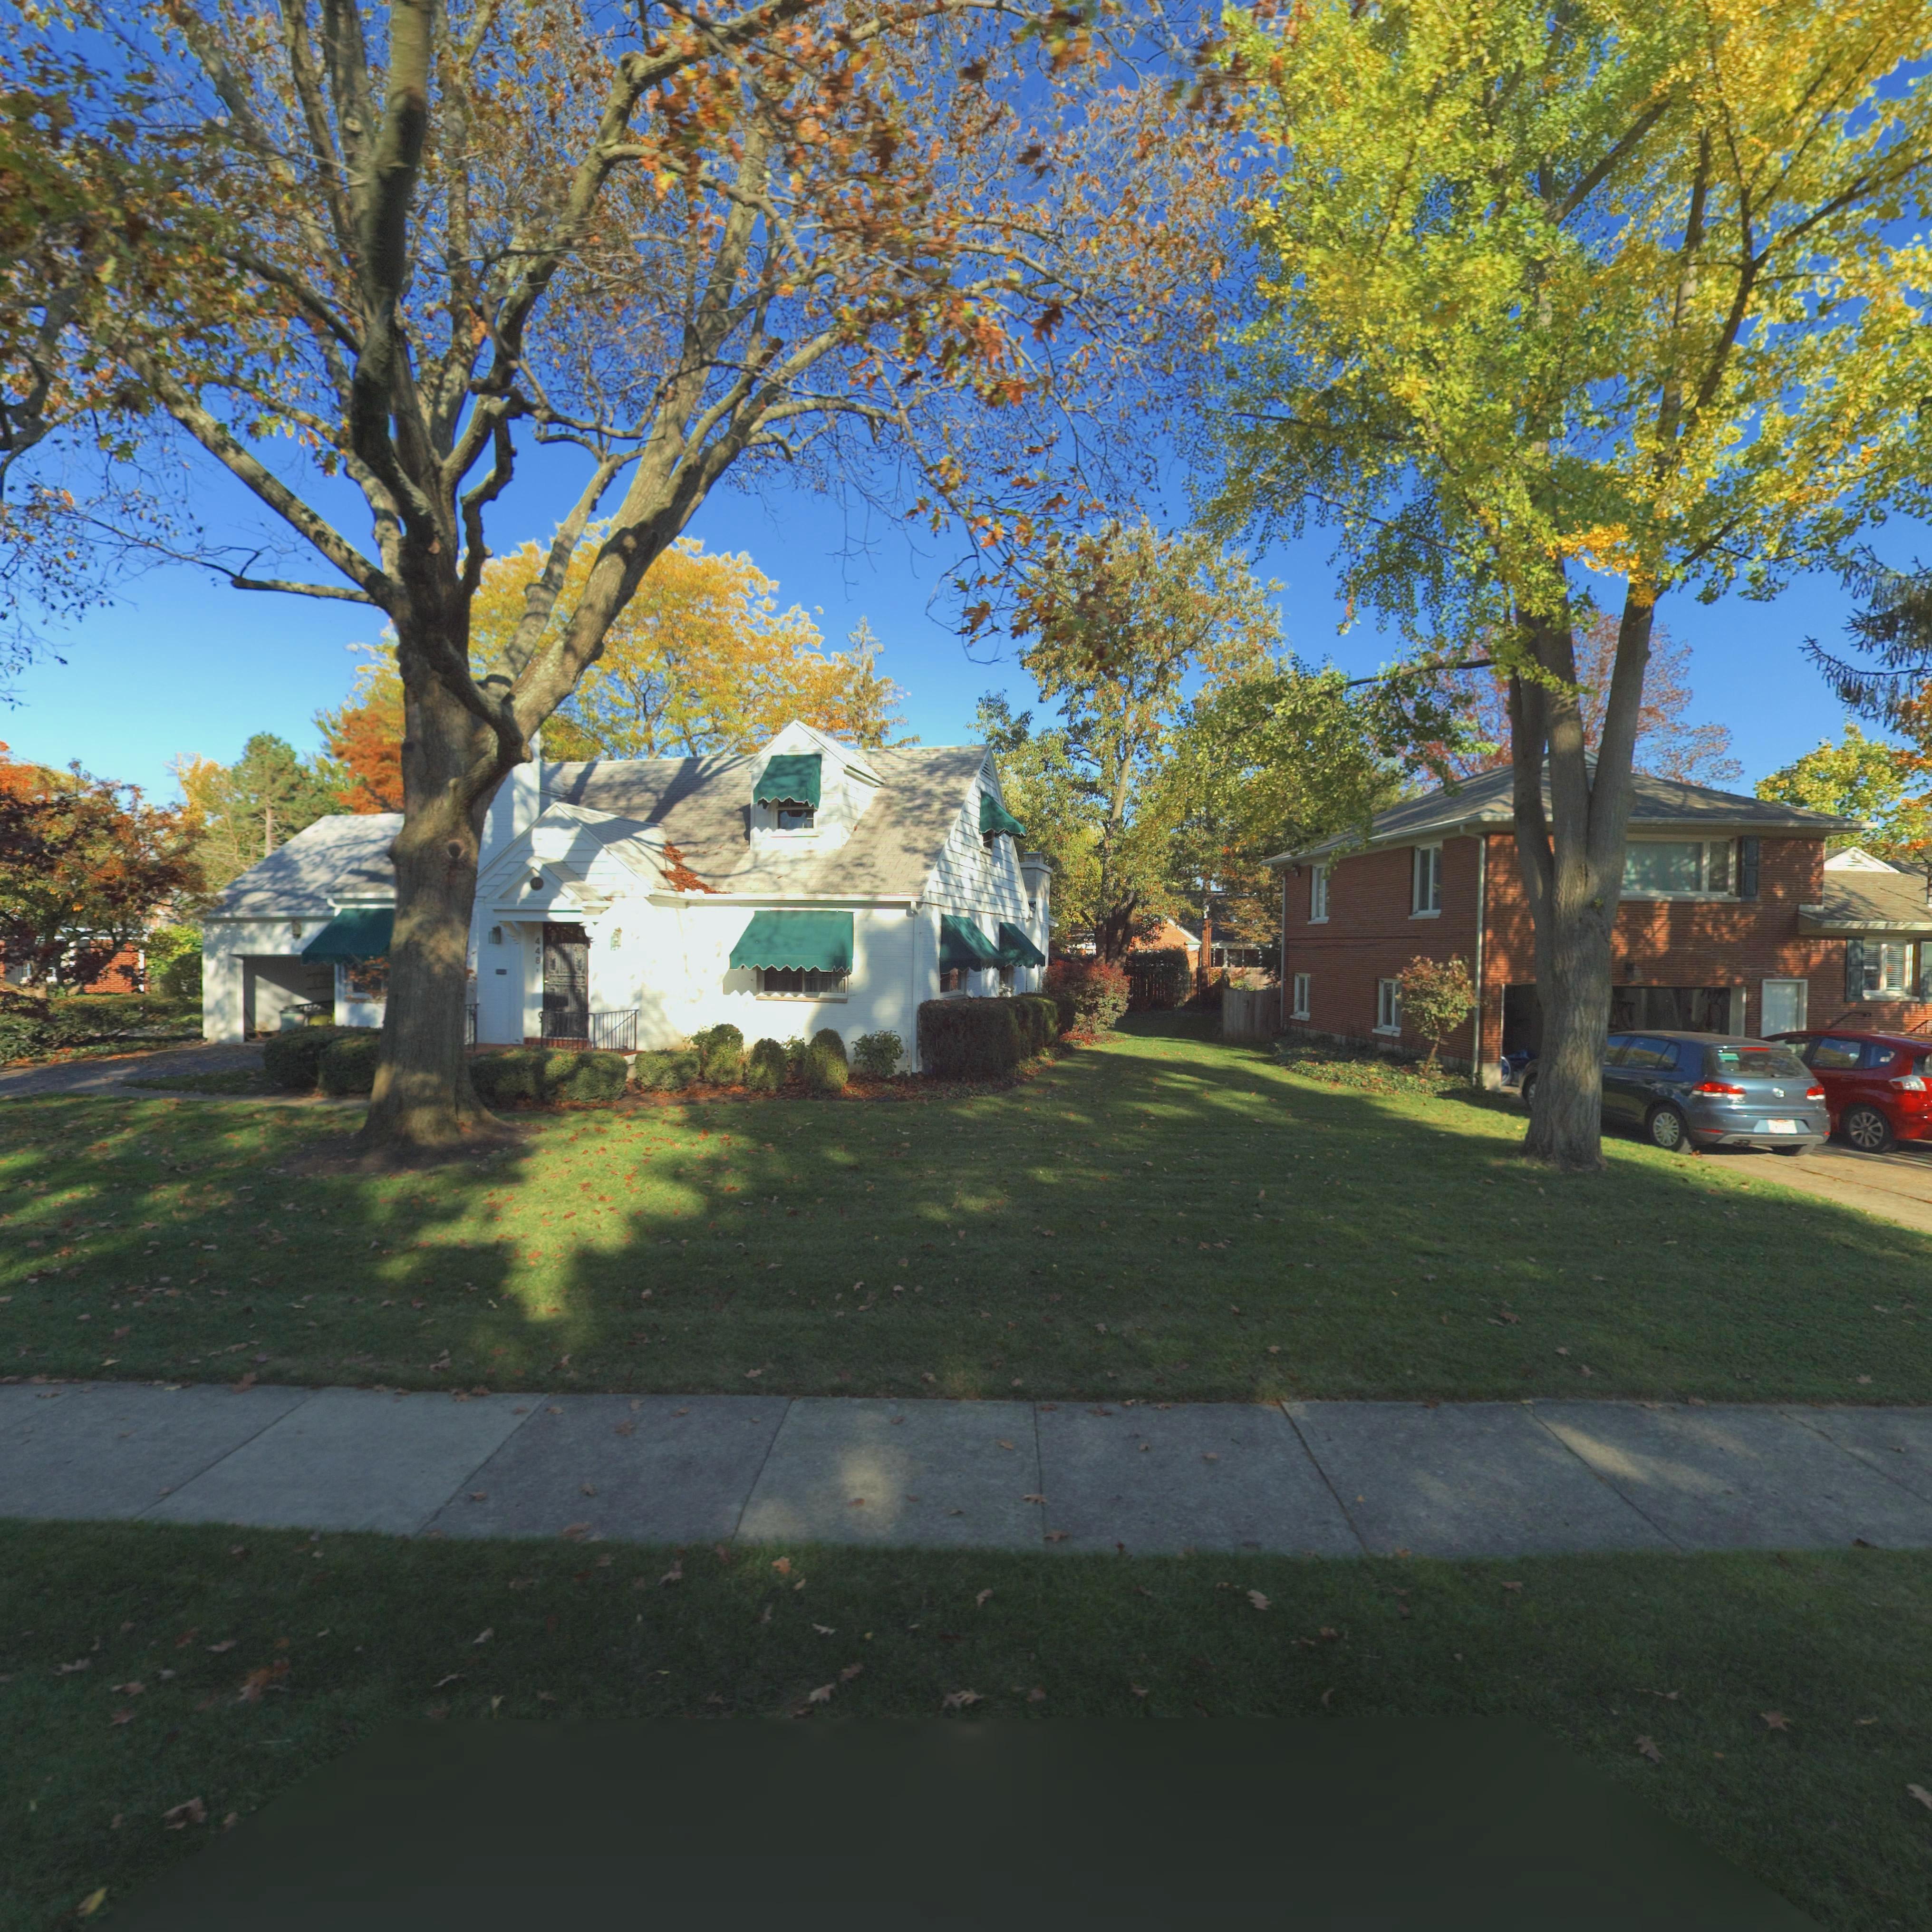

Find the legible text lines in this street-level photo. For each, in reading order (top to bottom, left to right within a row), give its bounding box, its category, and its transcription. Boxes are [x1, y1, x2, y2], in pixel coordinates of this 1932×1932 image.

[534, 937, 541, 964] StreetNumber: 448